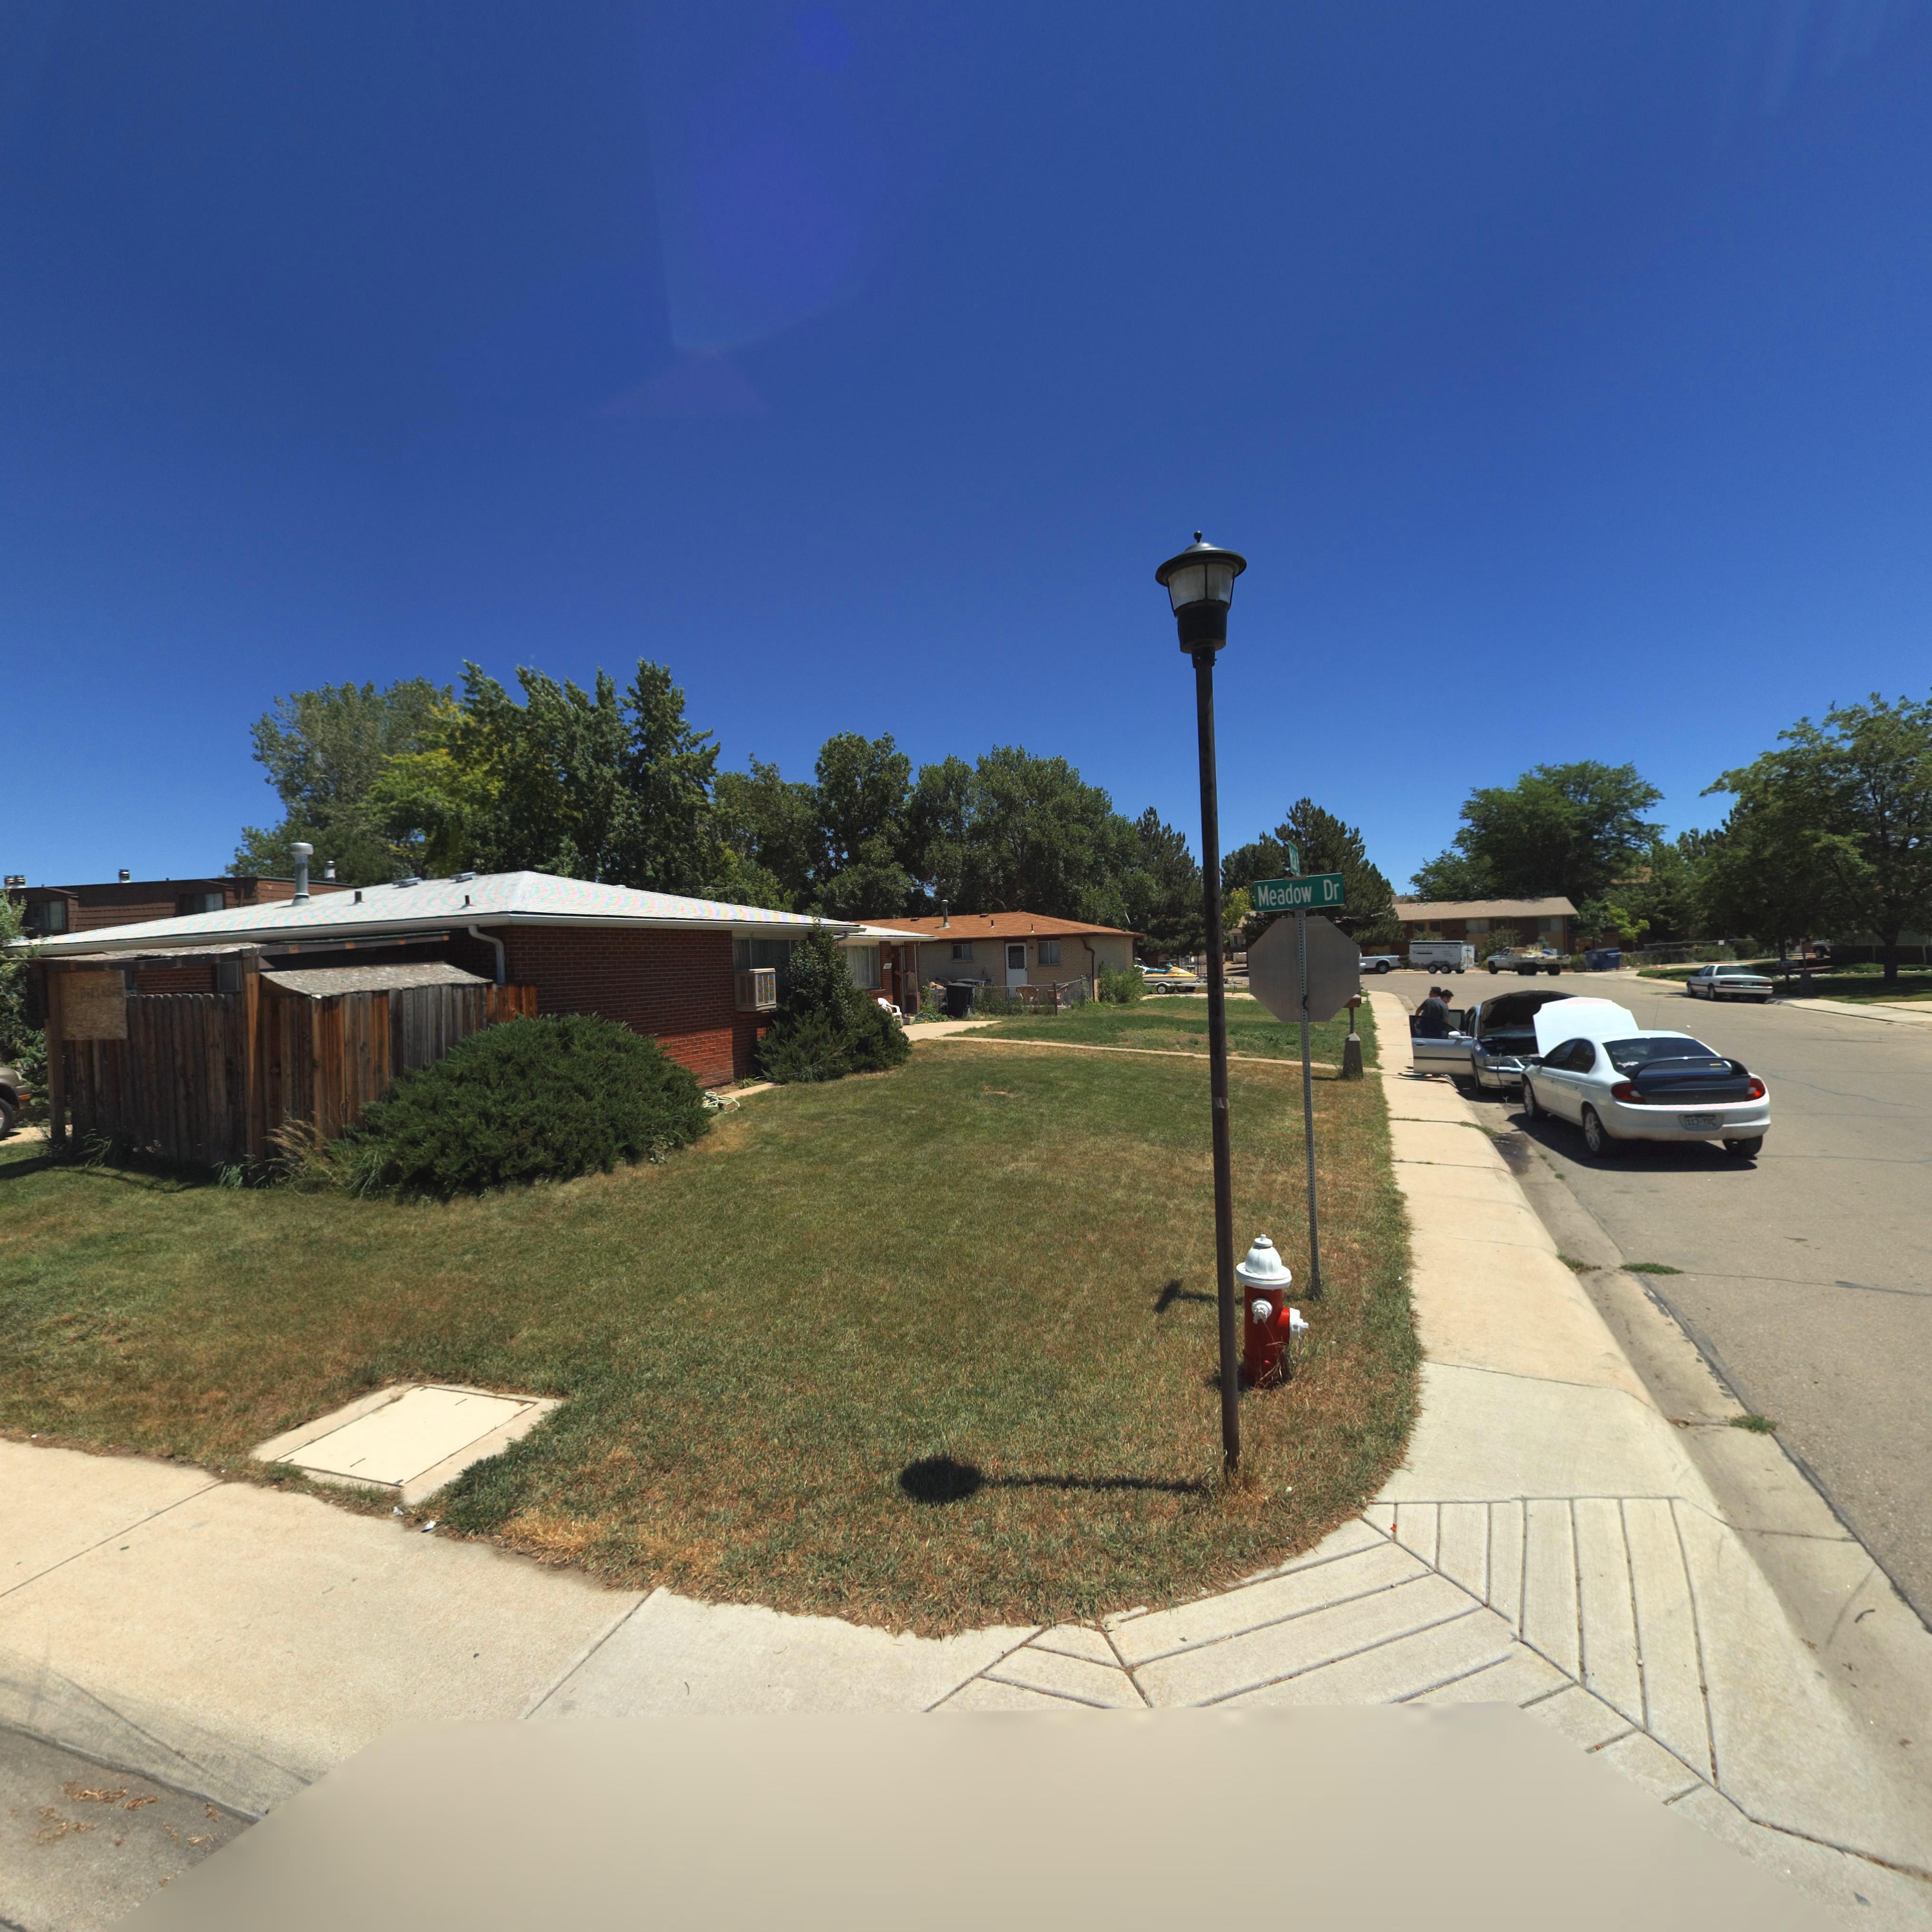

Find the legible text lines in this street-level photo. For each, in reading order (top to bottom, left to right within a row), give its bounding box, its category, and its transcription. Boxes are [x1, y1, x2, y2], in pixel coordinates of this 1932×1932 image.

[1288, 845, 1300, 873] StreetName: M****l P*
[1257, 879, 1340, 907] StreetName: Meadow Dr
[885, 964, 890, 968] StreetNumber: **2*